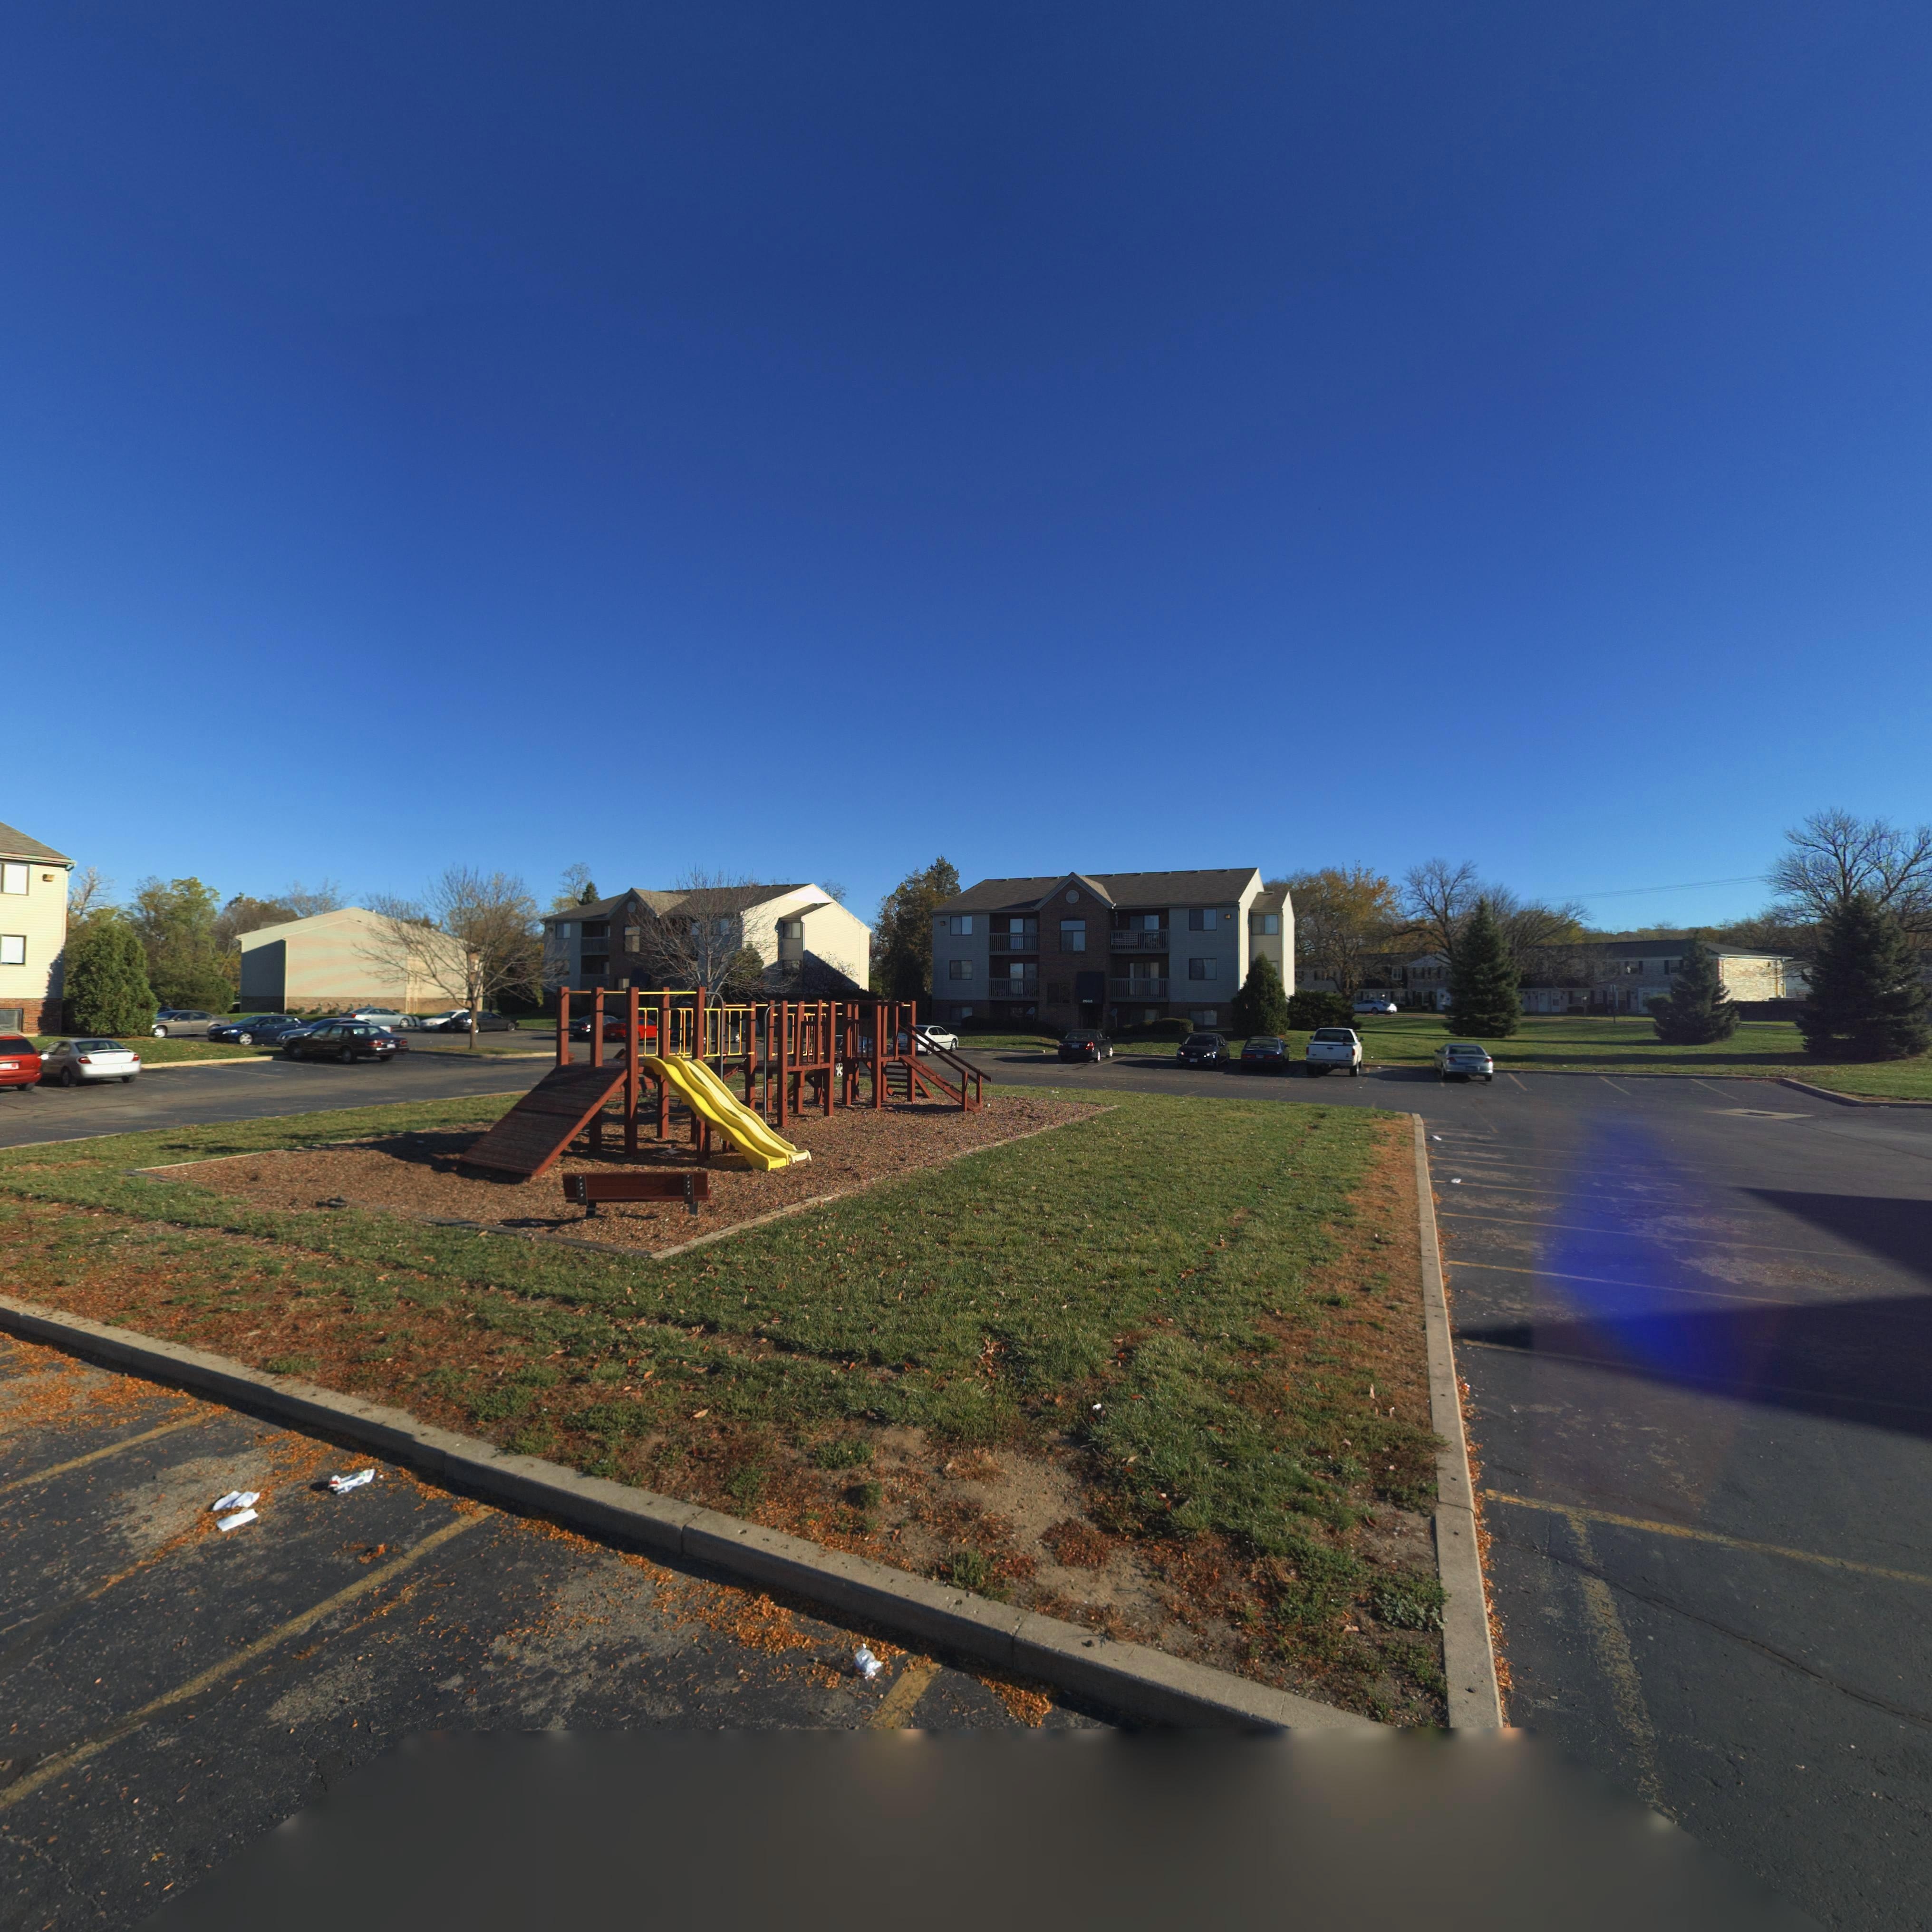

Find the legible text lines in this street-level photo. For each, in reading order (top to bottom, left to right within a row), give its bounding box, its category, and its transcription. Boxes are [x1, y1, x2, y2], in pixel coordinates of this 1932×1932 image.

[1082, 999, 1093, 1003] StreetNumber: 2***